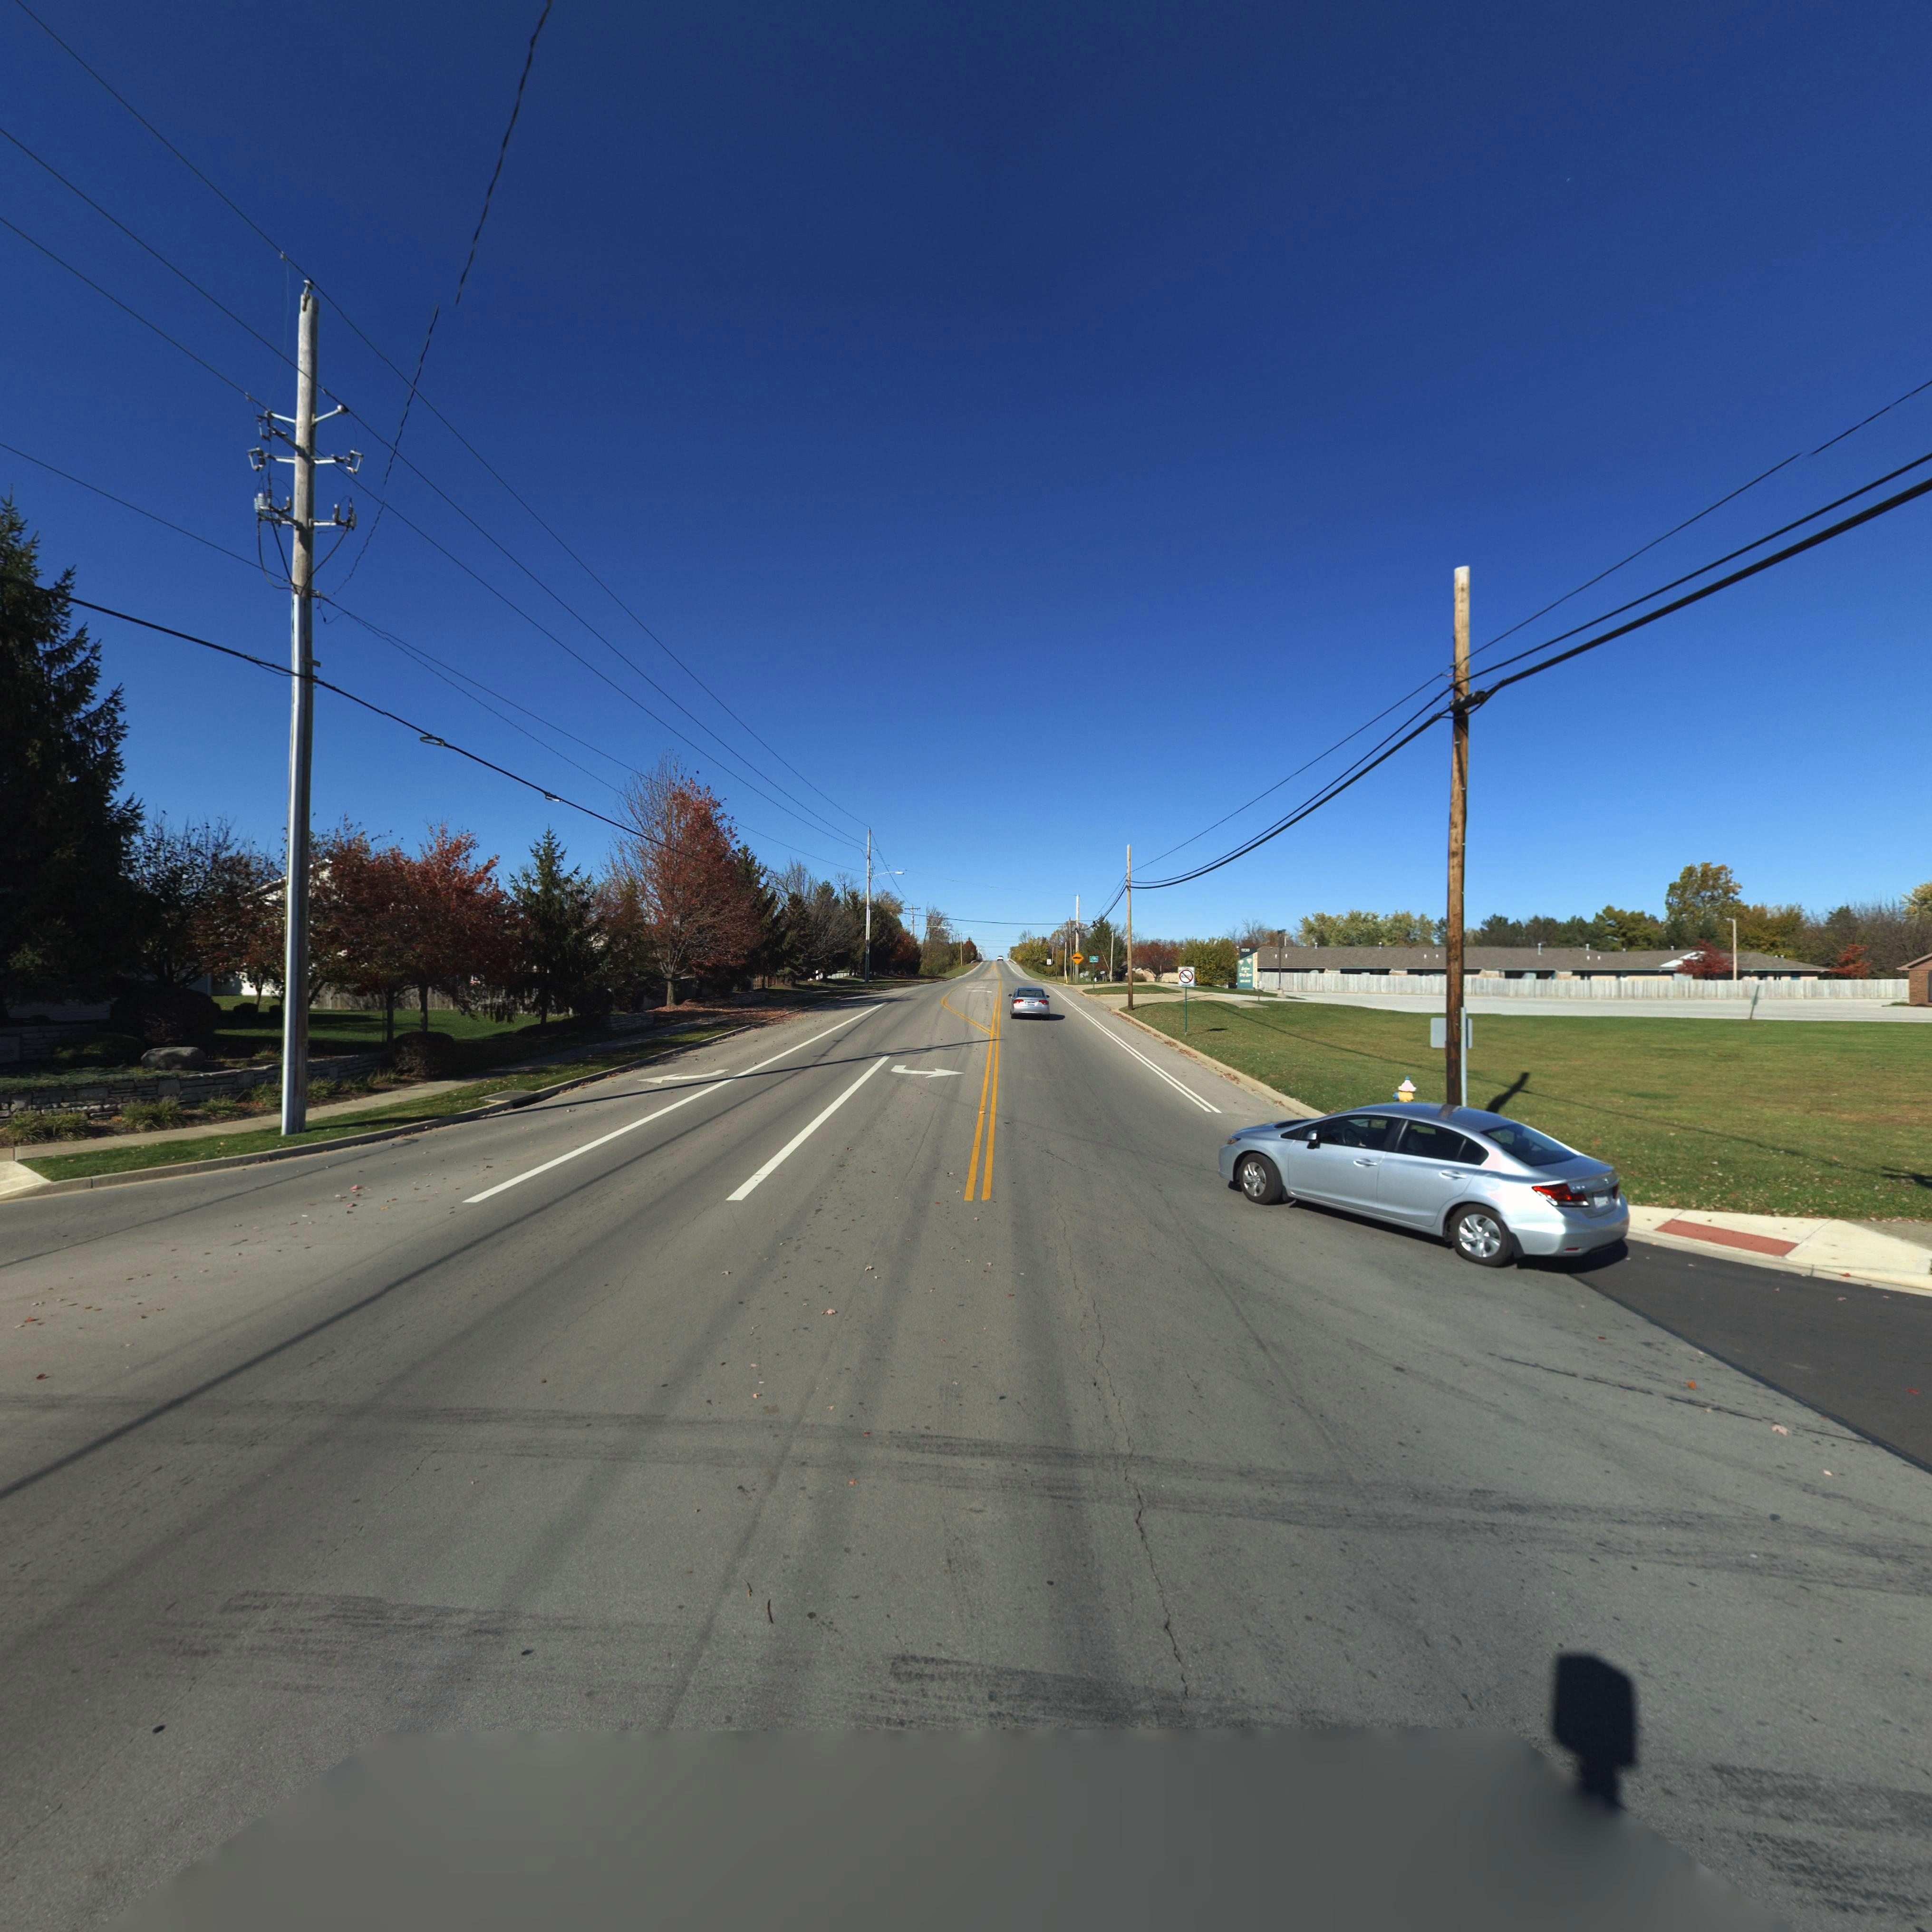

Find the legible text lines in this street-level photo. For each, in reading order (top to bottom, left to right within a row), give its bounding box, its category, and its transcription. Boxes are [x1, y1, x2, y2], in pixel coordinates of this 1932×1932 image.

[1241, 948, 1250, 952] StreetNumber: 1*30